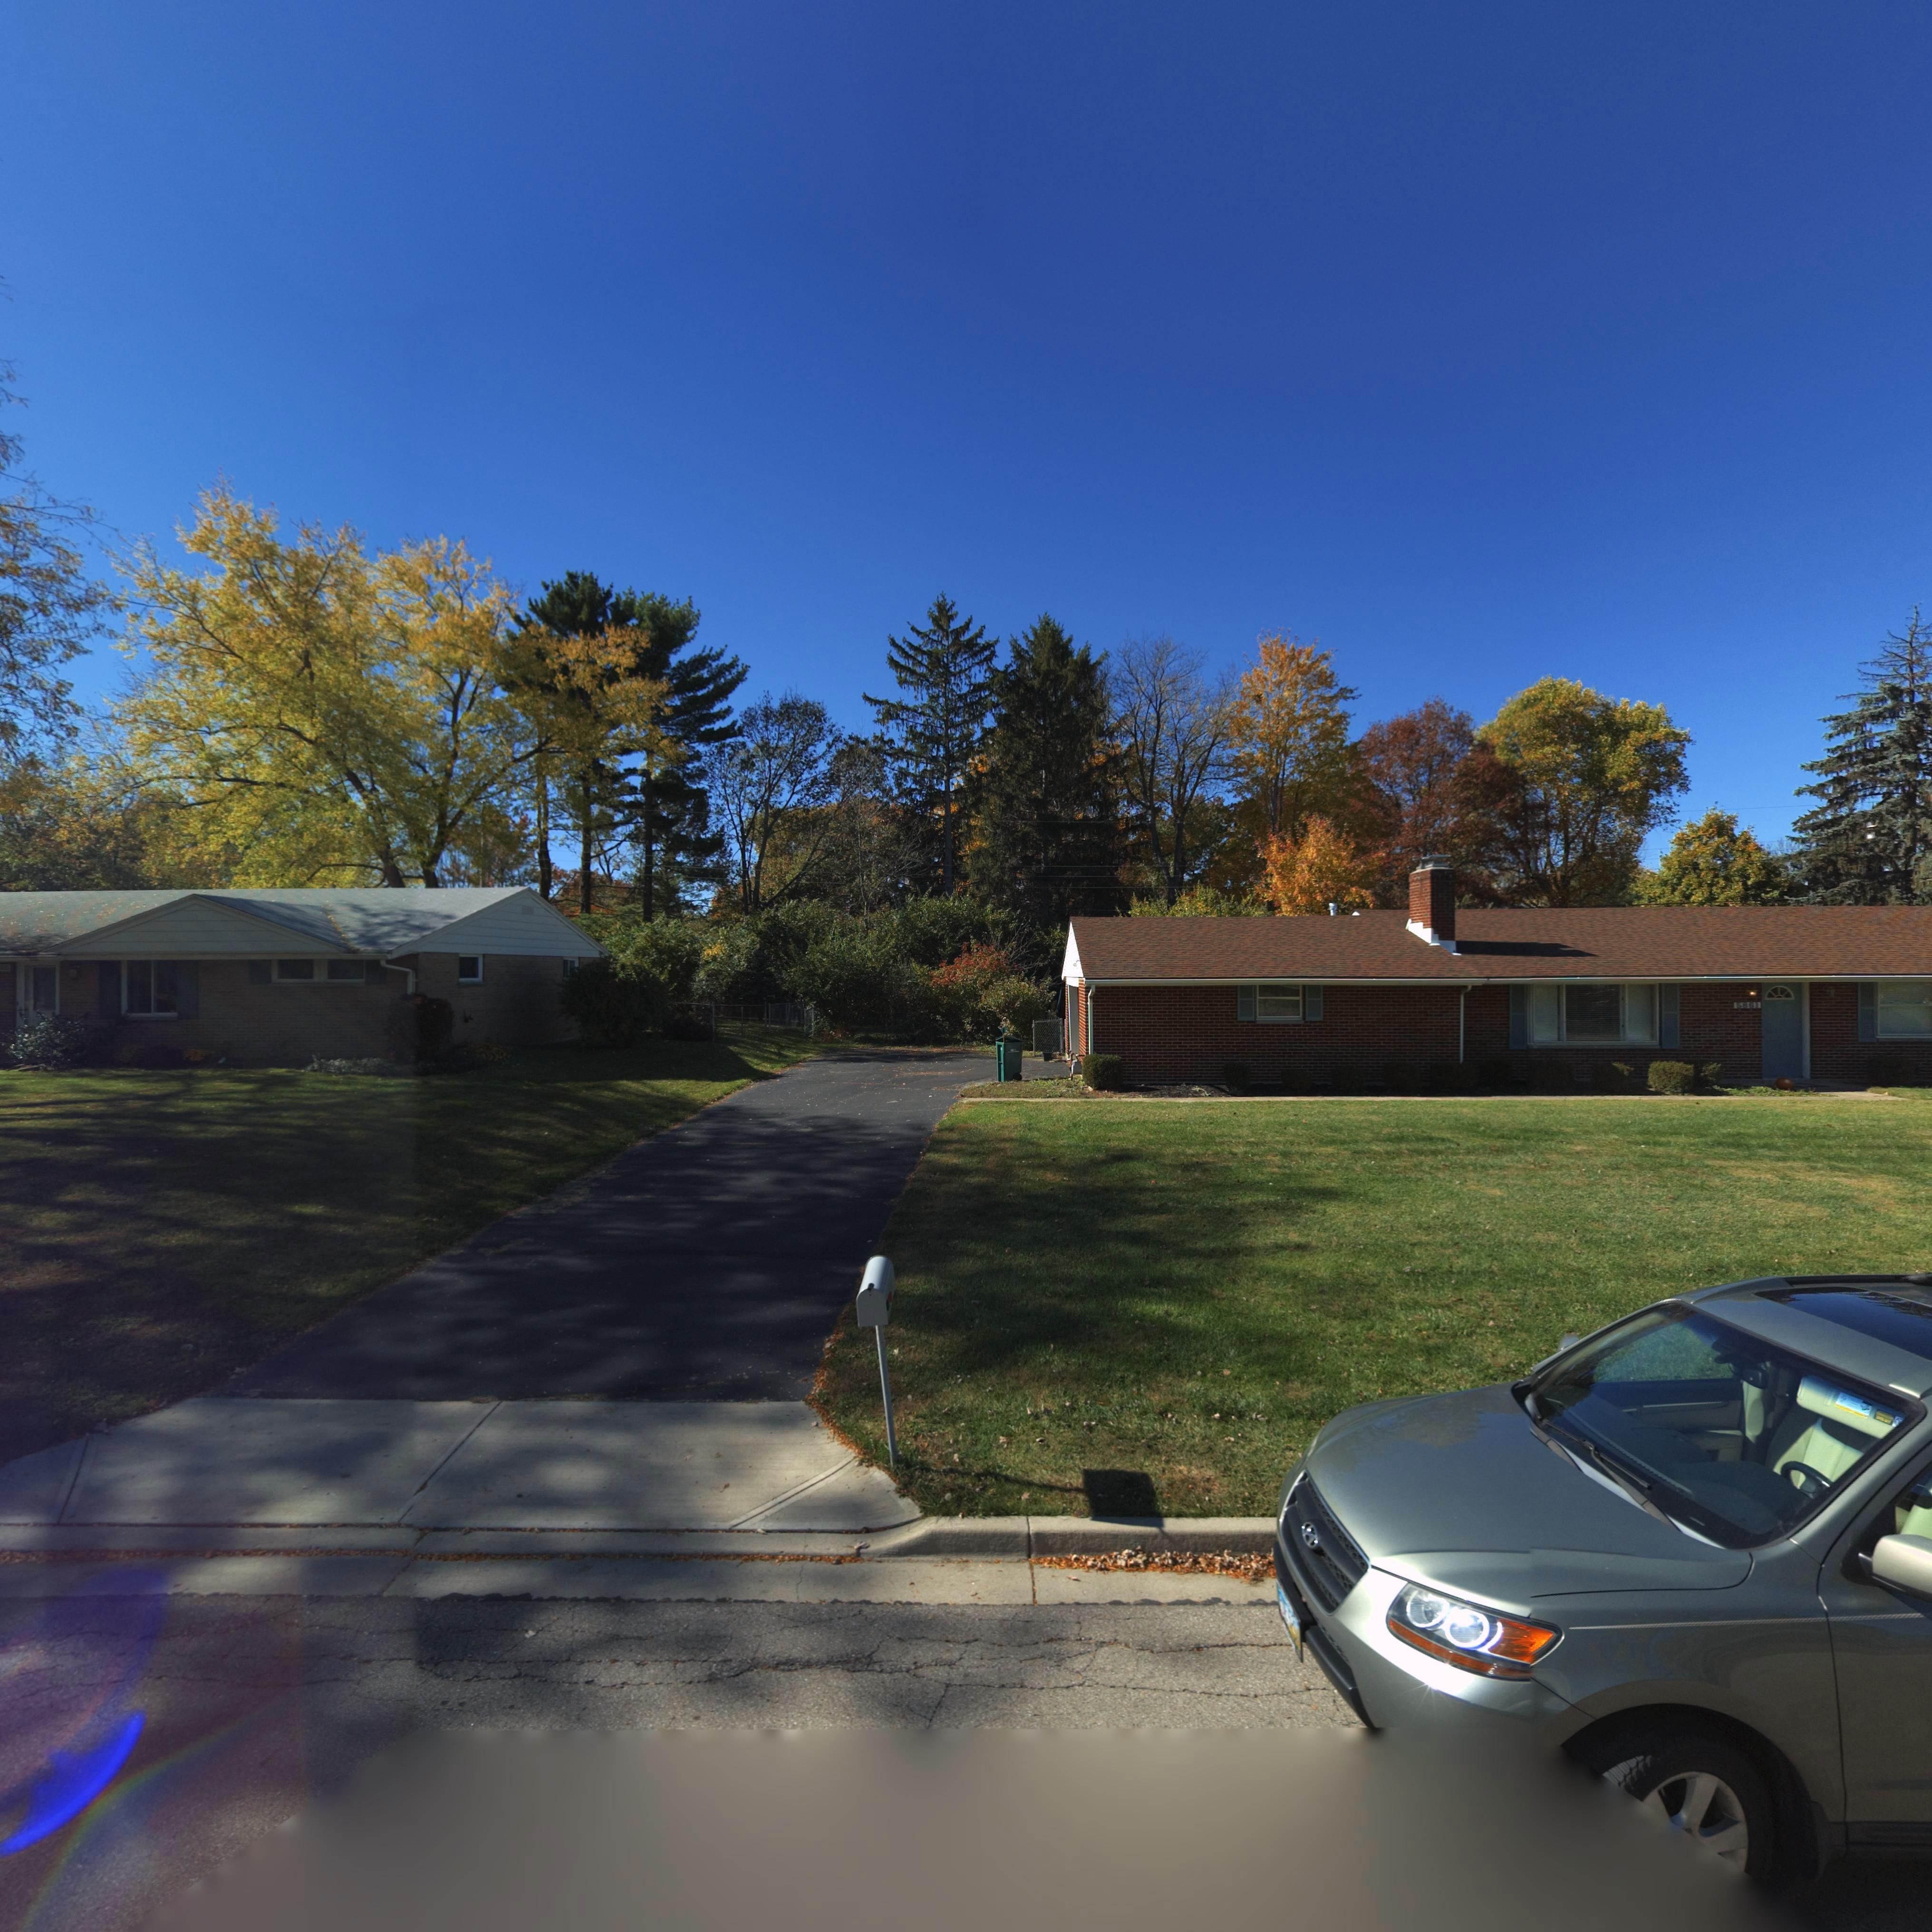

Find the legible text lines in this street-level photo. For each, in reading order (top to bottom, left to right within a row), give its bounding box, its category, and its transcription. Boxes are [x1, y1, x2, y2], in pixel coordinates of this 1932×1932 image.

[1736, 1001, 1759, 1009] StreetNumber: 5861